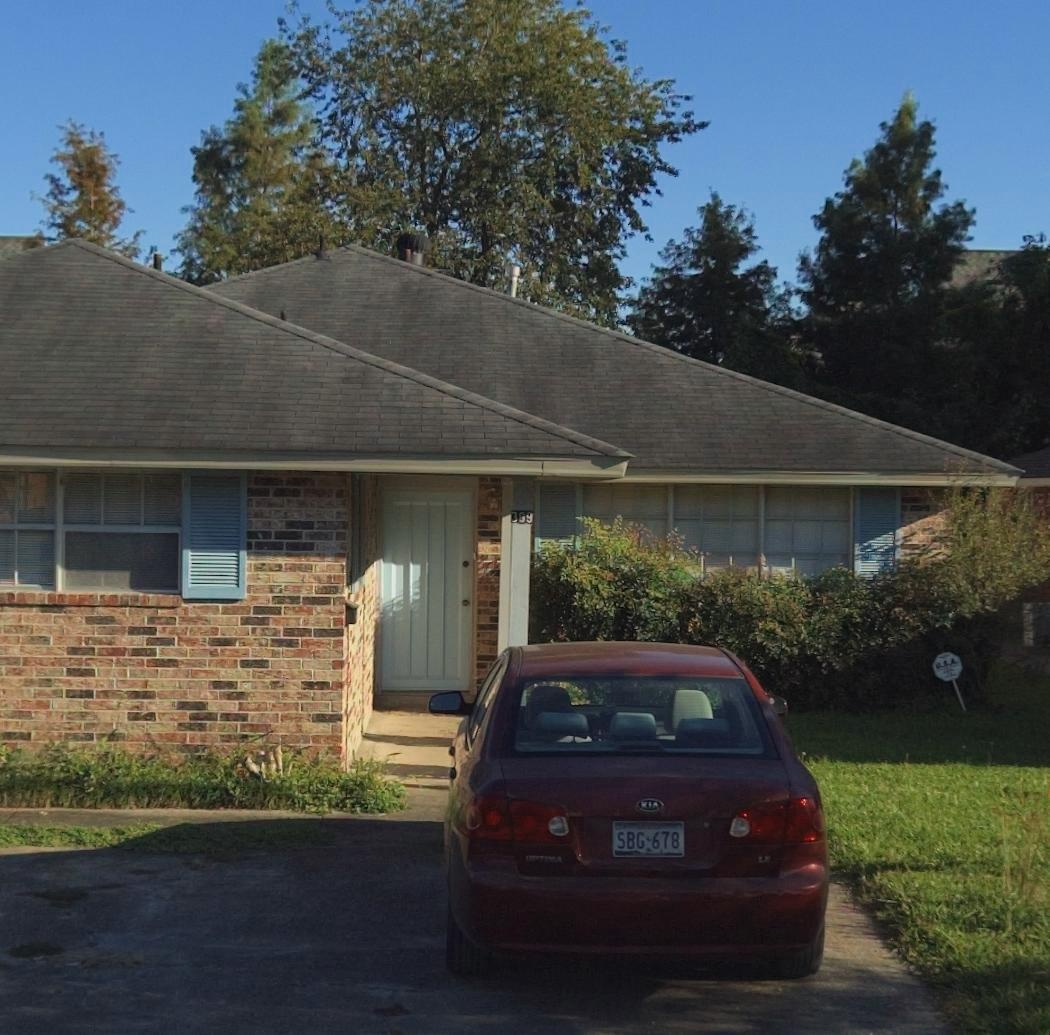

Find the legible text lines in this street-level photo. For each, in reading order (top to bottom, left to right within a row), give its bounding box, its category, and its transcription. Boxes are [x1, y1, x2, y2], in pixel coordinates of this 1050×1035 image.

[510, 509, 535, 526] StreetNumber: 369
[614, 829, 682, 852] None: SBG-678